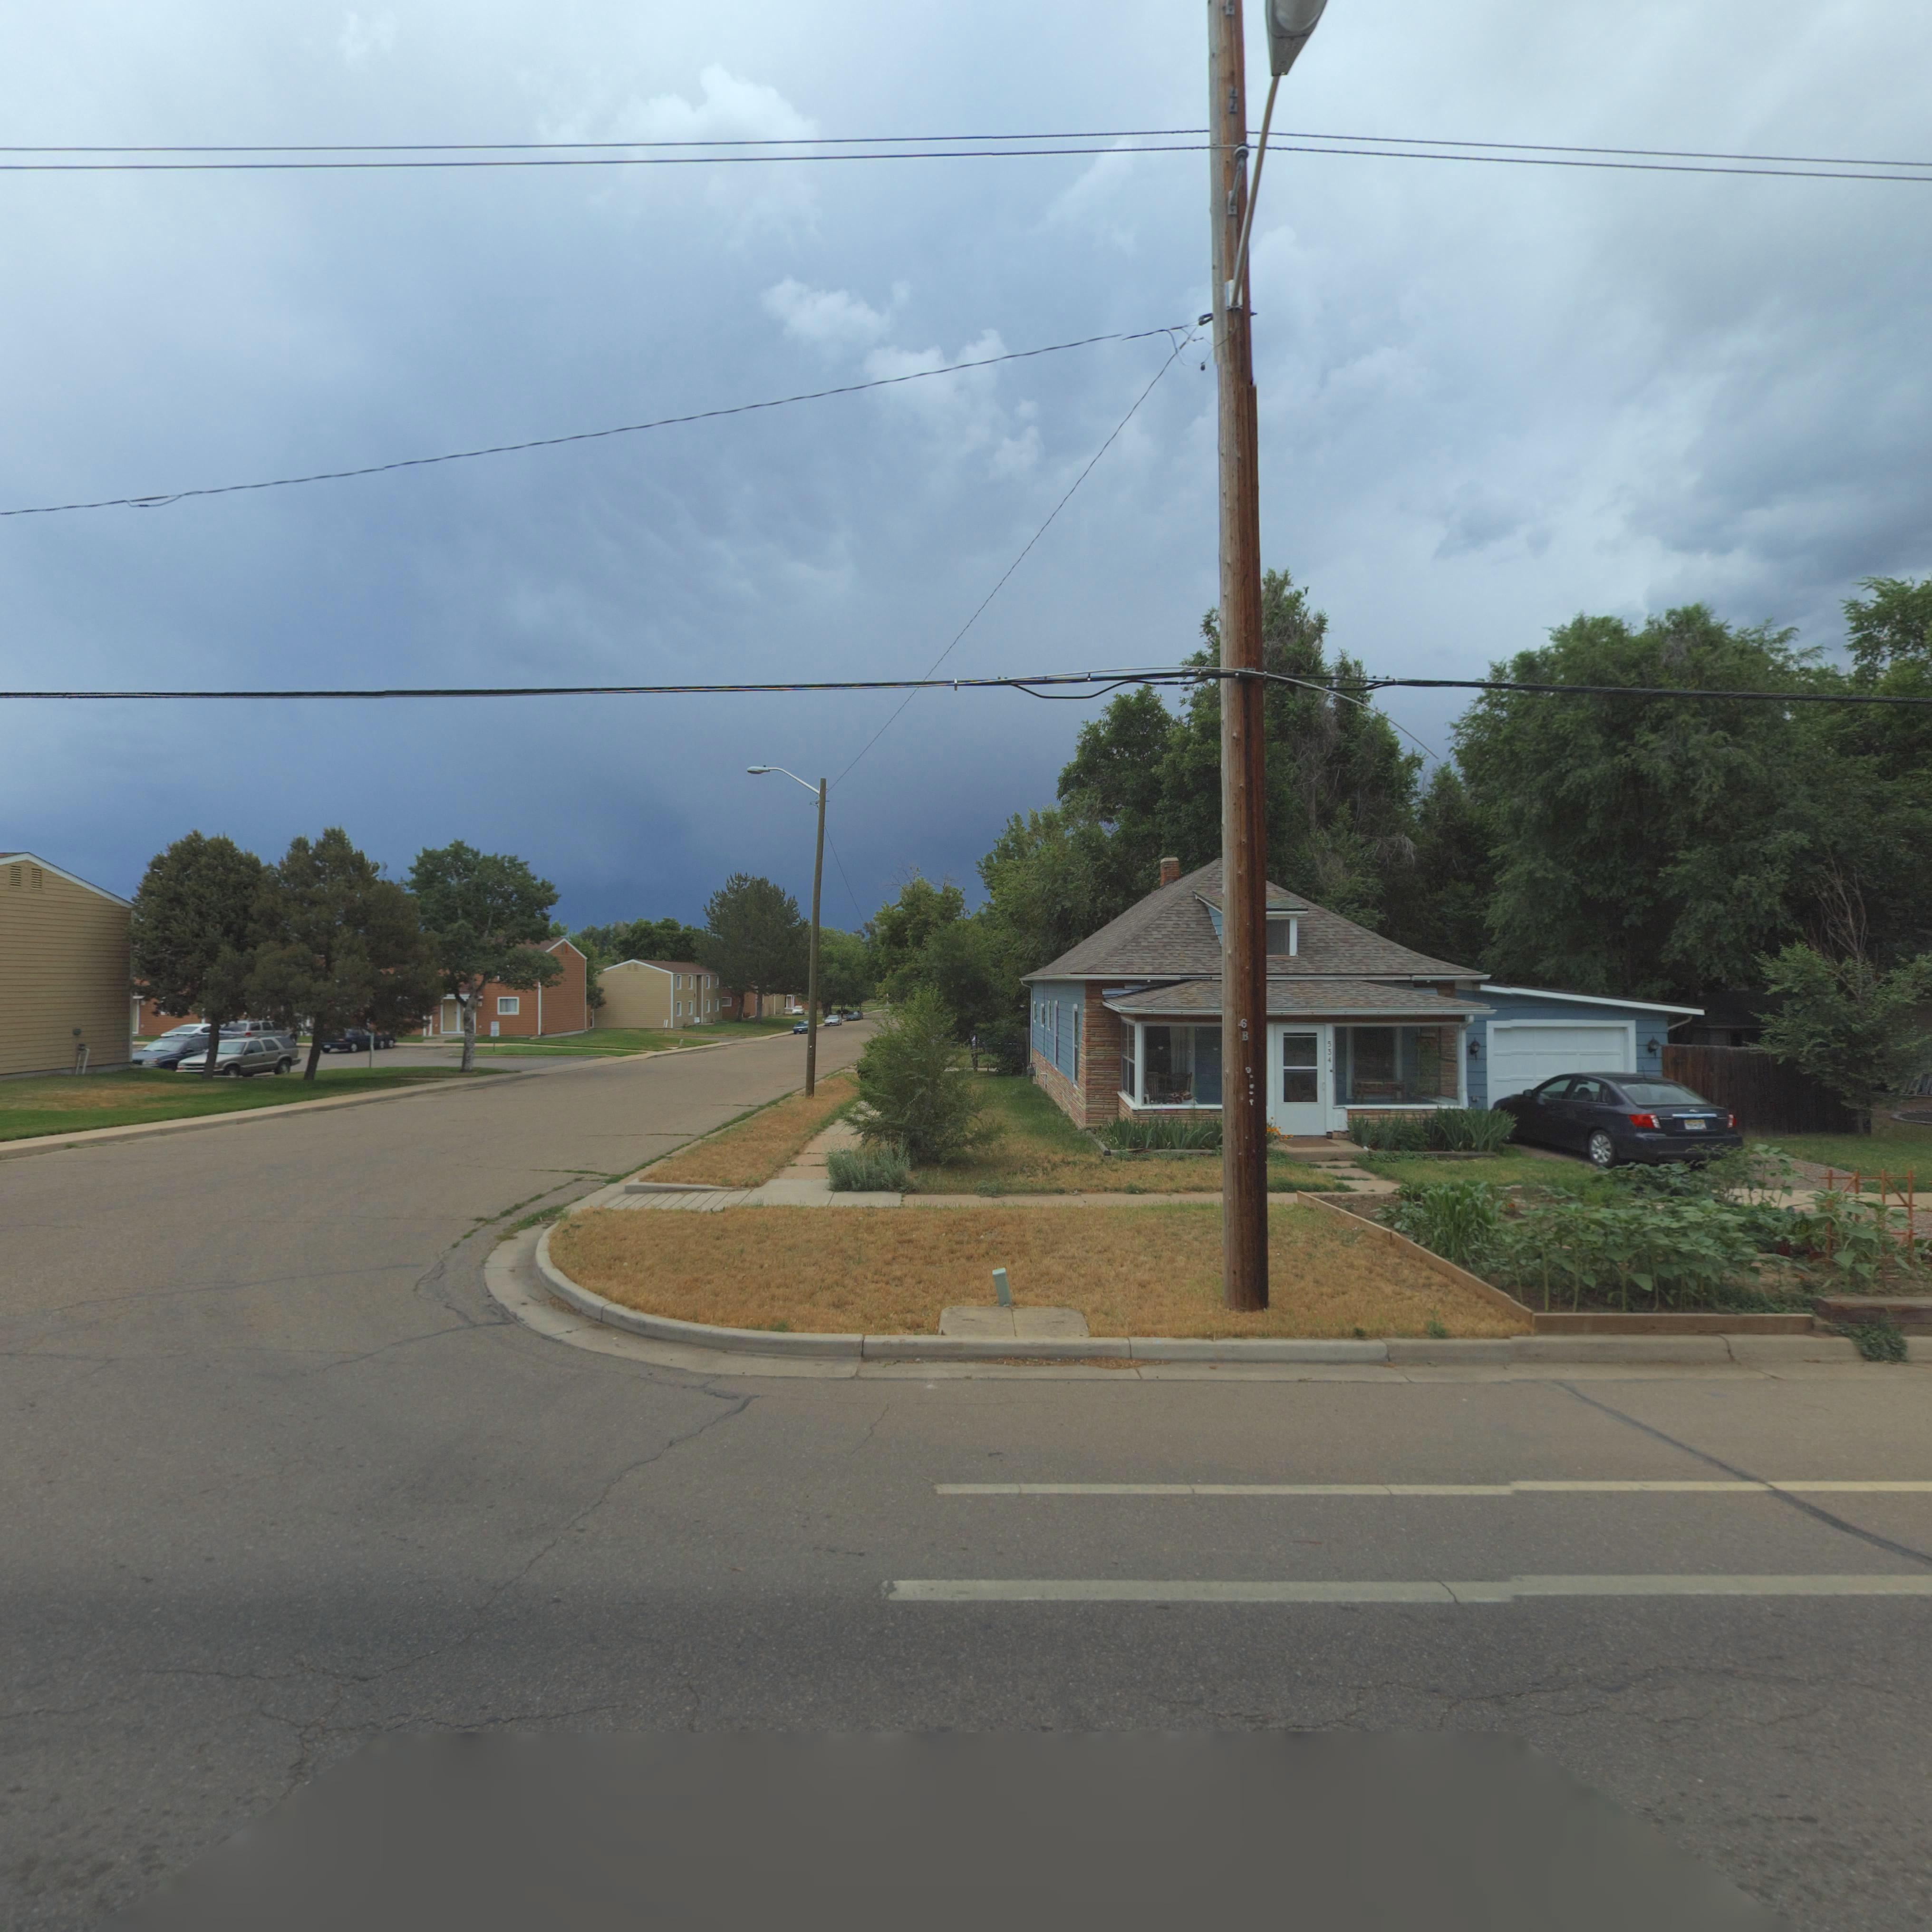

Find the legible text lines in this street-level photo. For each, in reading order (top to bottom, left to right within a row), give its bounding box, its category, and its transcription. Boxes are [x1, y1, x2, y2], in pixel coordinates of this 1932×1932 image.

[1327, 1041, 1332, 1063] StreetNumber: 534